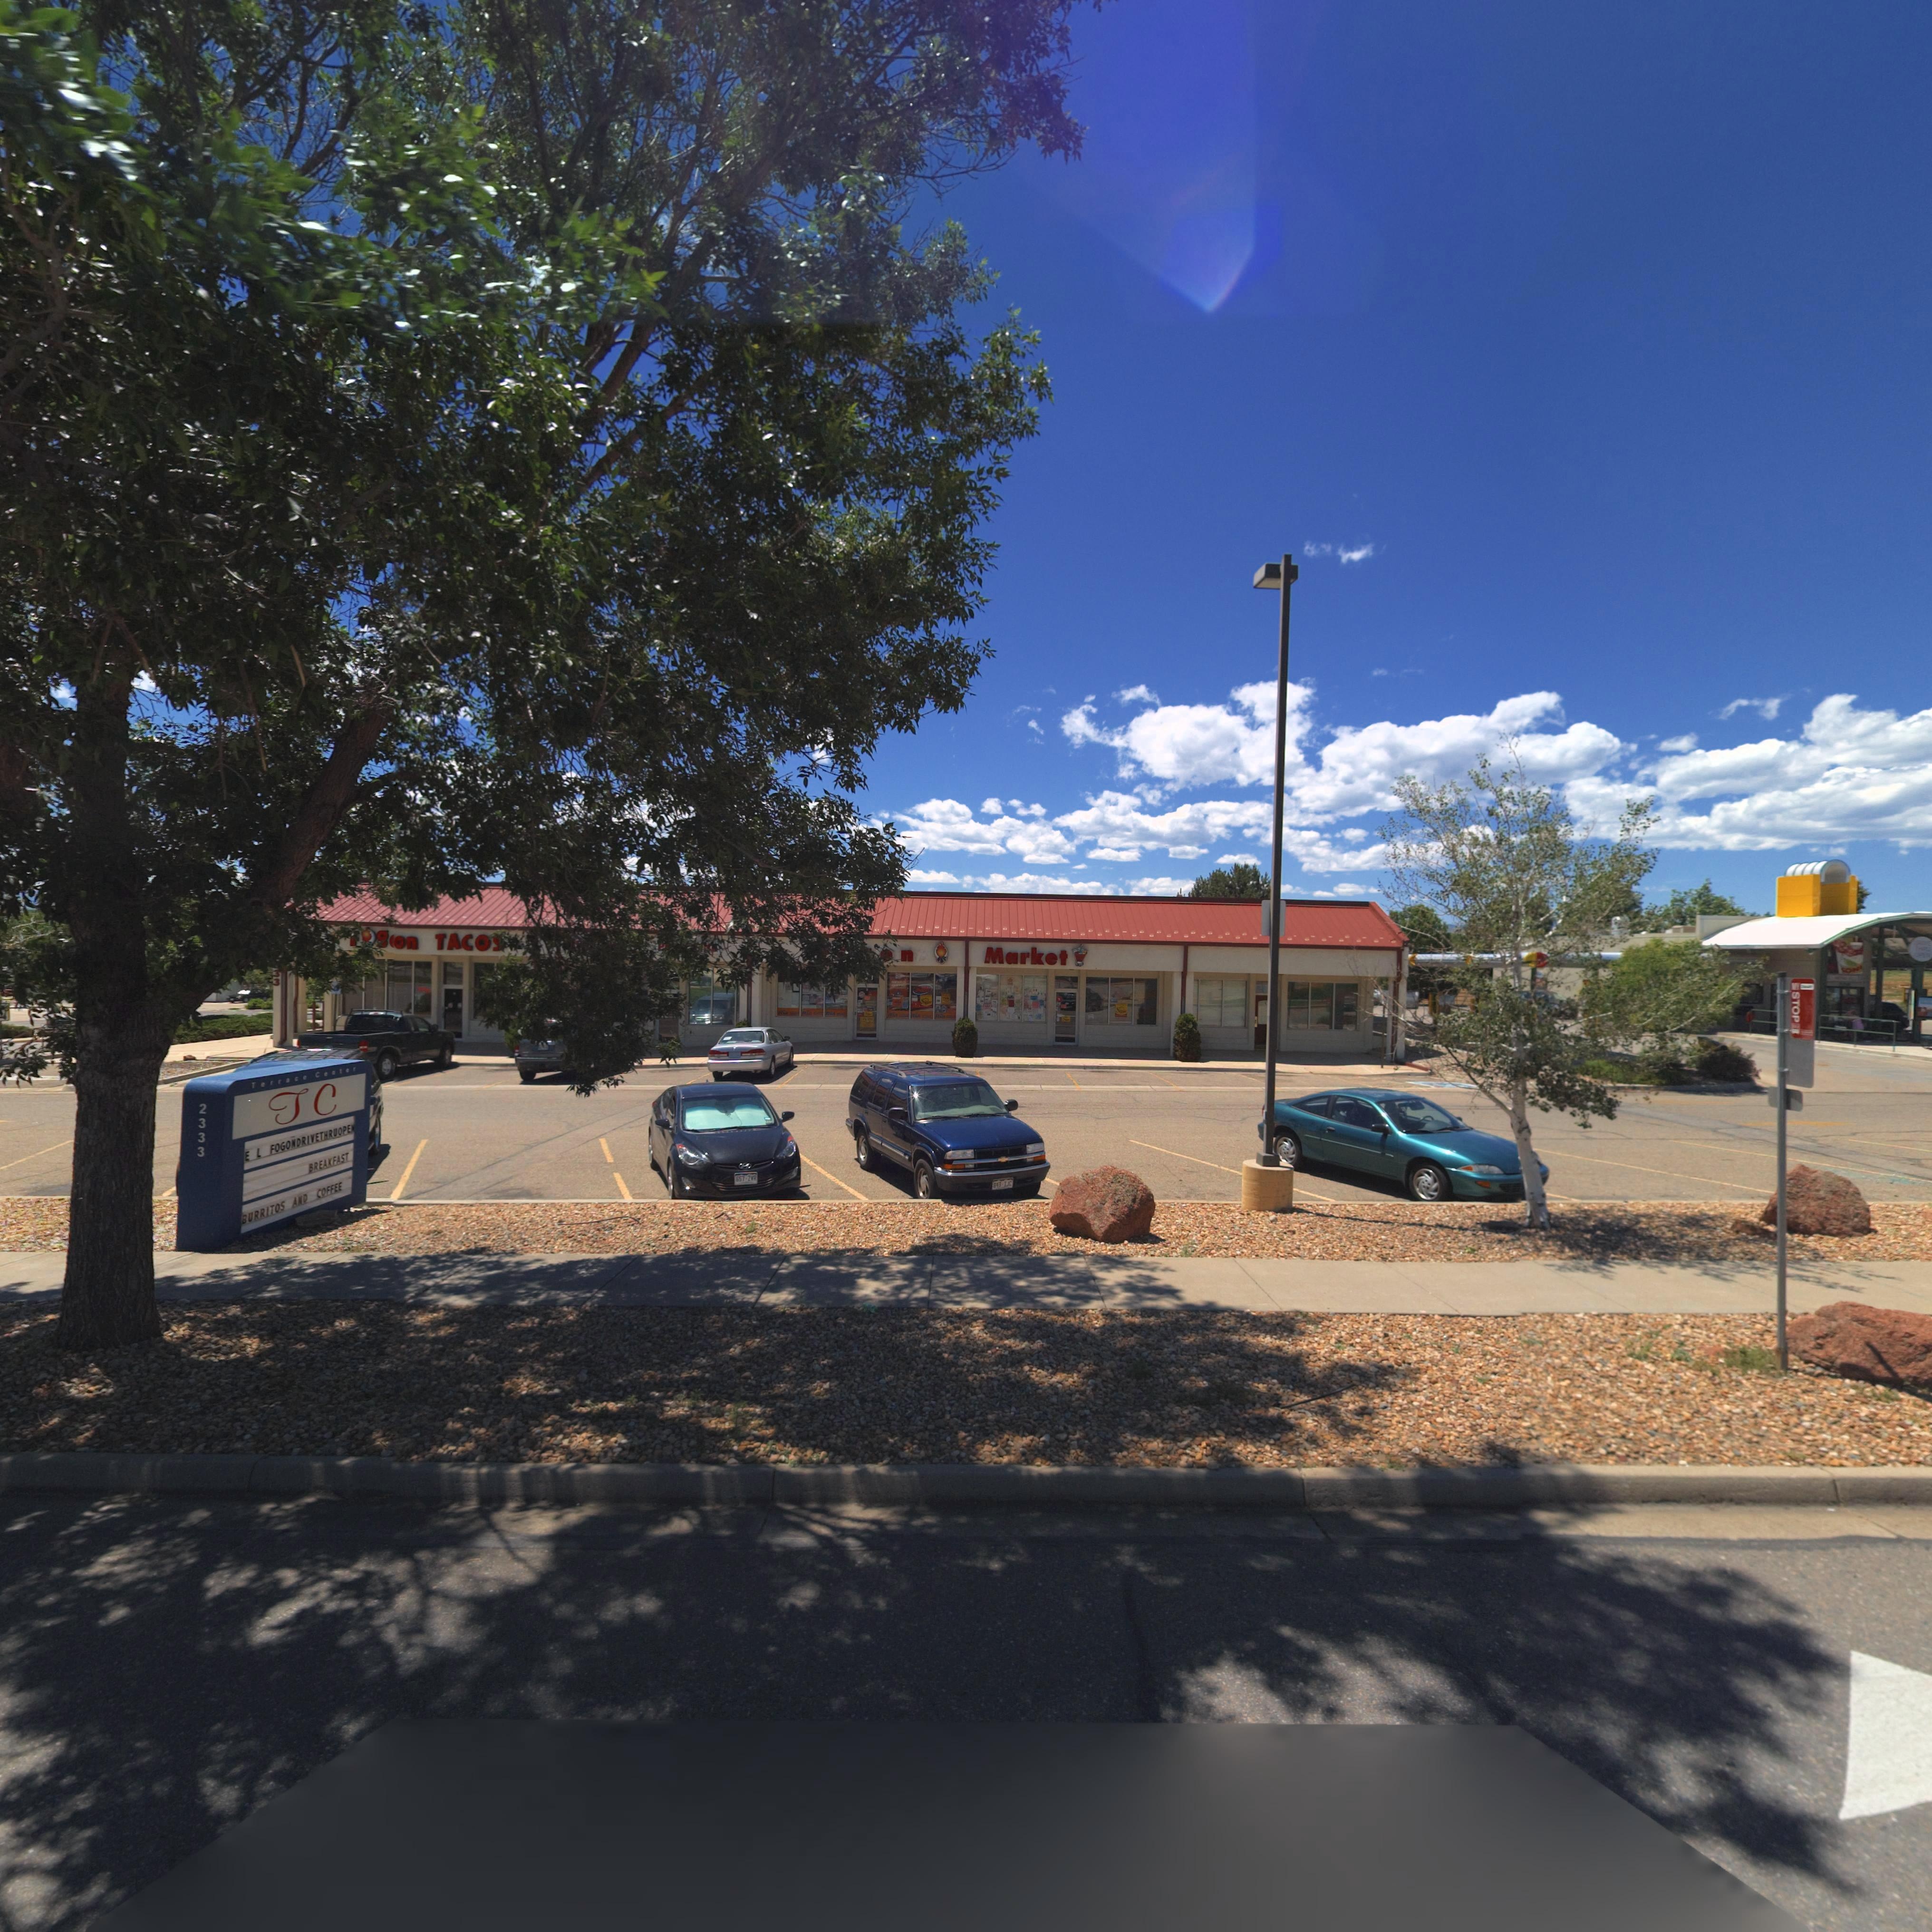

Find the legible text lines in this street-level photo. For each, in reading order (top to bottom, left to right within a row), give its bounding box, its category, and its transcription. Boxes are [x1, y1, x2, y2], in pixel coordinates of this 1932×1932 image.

[346, 929, 504, 952] BusinessName: ****on TACO*
[814, 942, 1070, 966] BusinessName: ****n Market
[272, 969, 280, 986] StreetNumber: 33
[1841, 964, 1862, 973] BusinessName: *ON*
[196, 1102, 207, 1157] StreetNumber: 2333